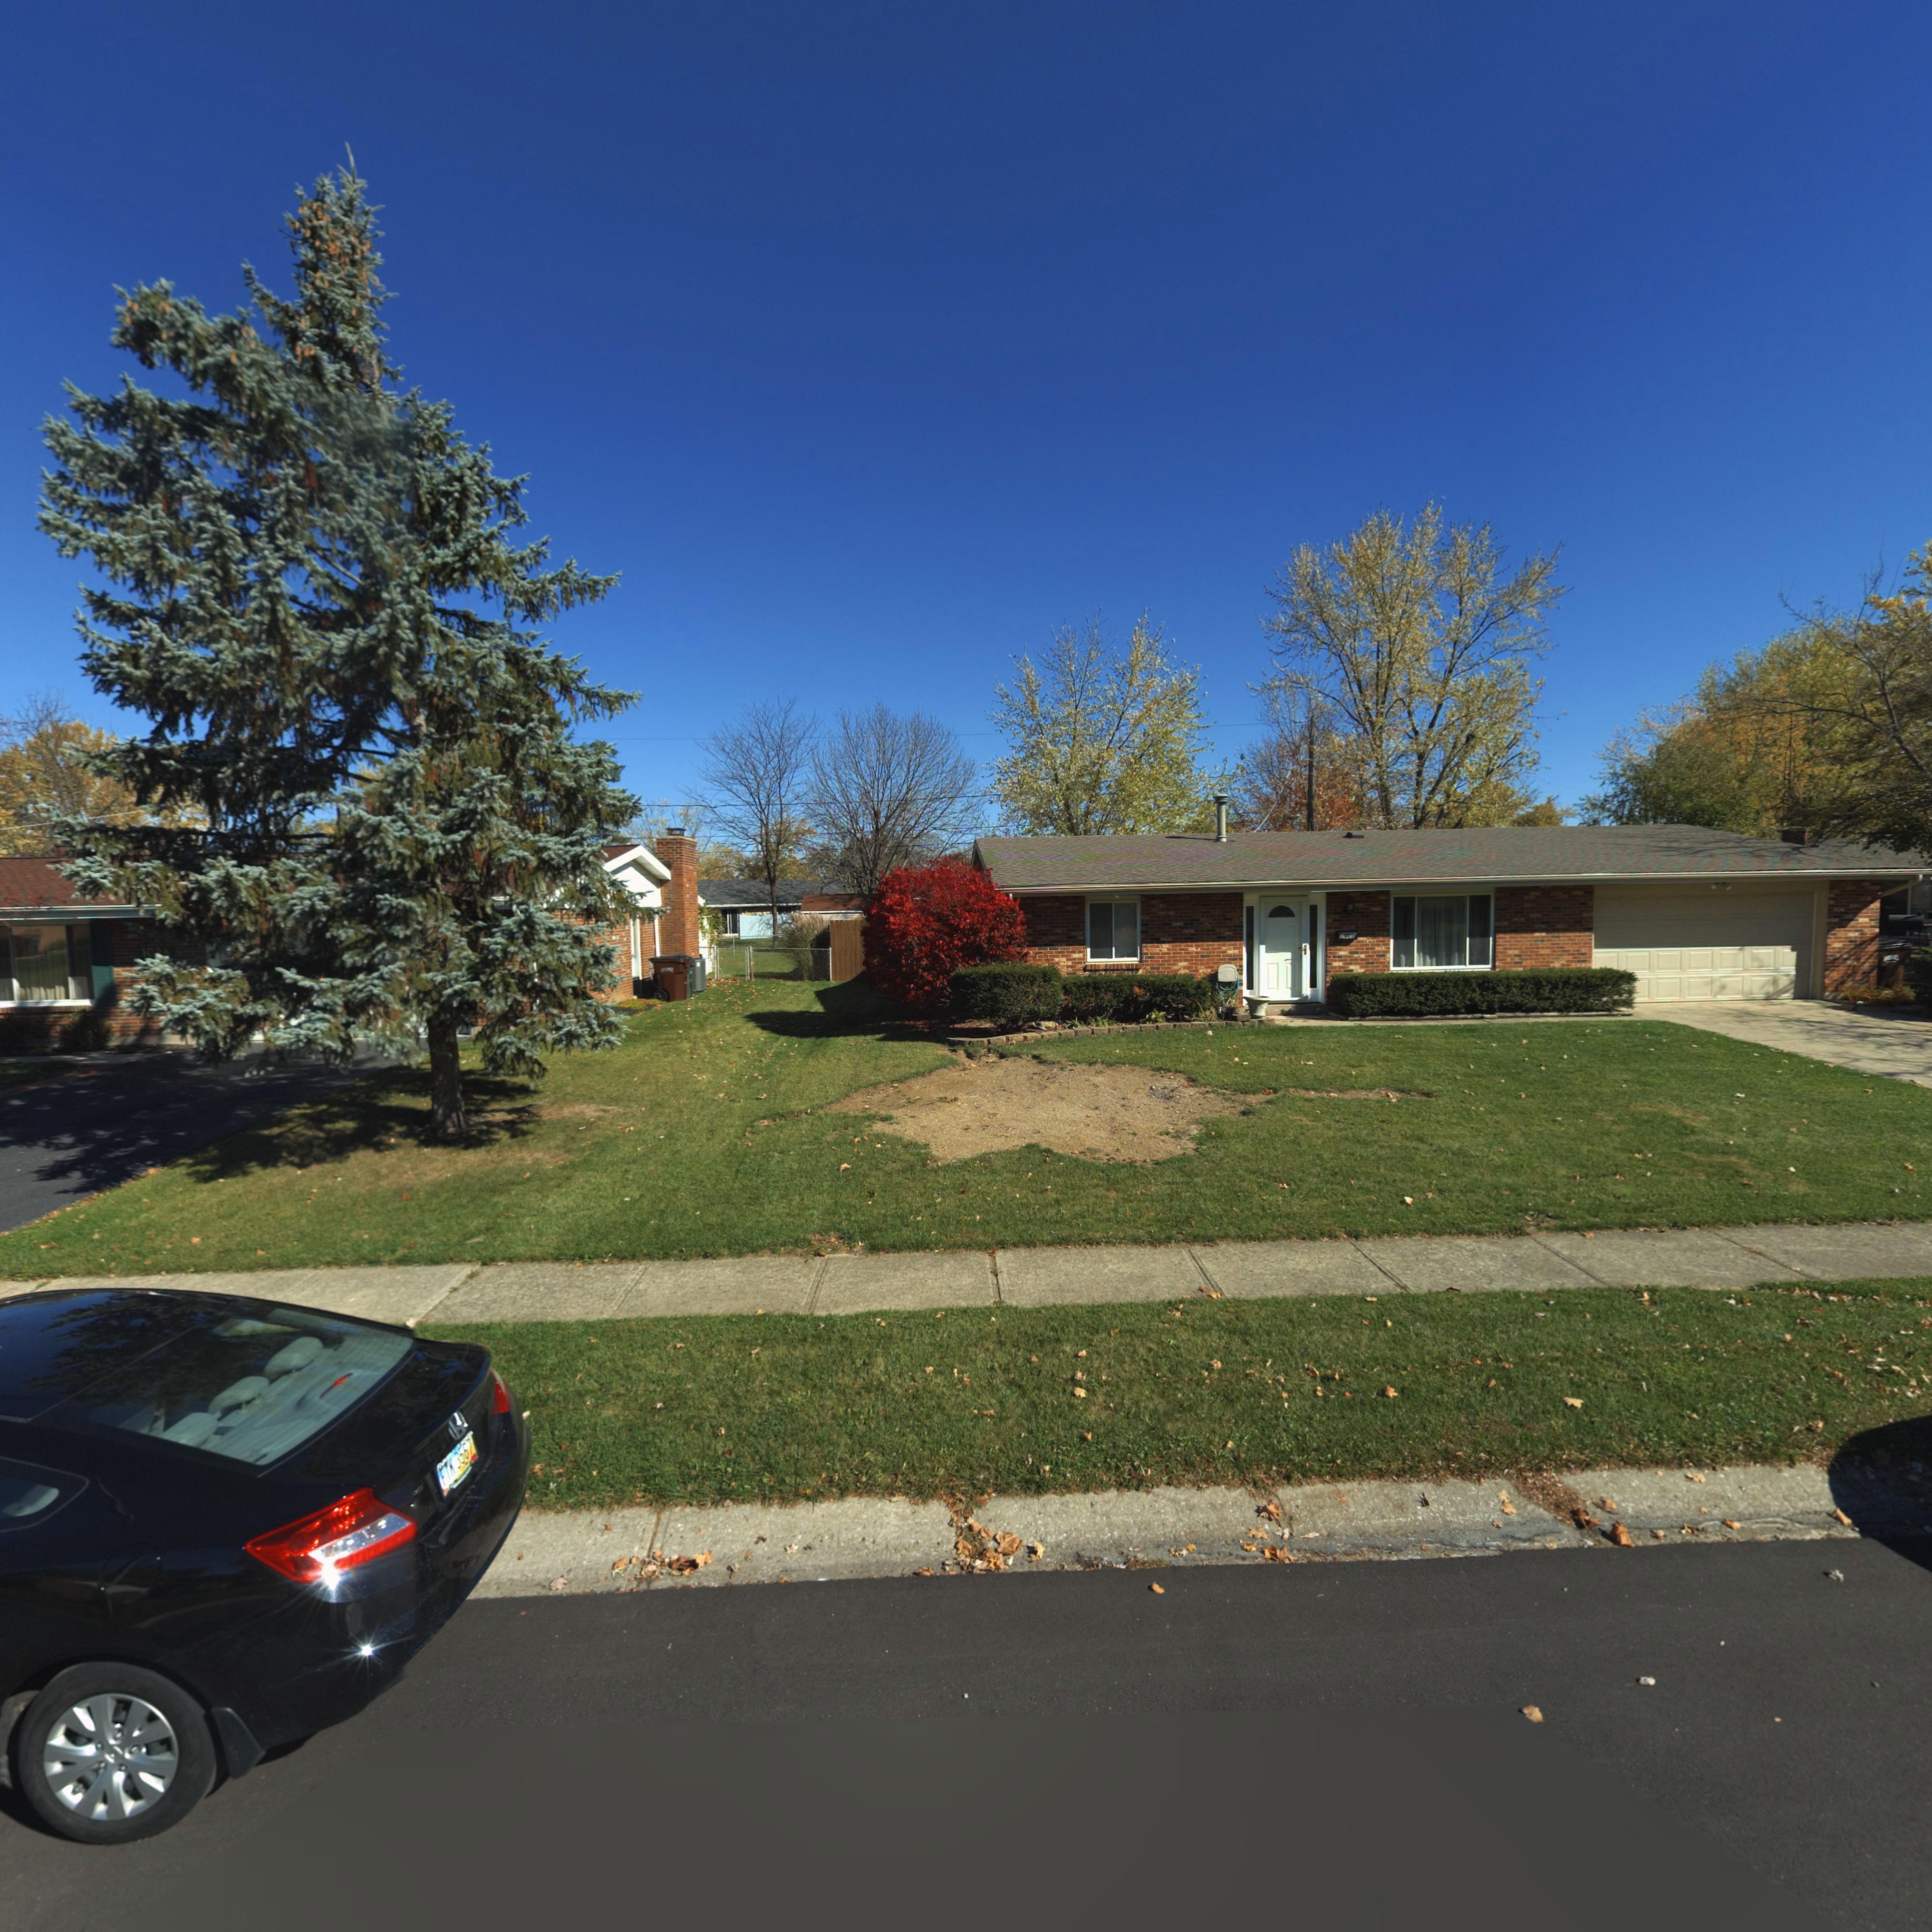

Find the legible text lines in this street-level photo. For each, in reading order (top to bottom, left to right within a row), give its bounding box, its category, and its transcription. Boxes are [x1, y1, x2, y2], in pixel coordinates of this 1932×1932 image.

[141, 947, 171, 957] StreetNumber: 10*8